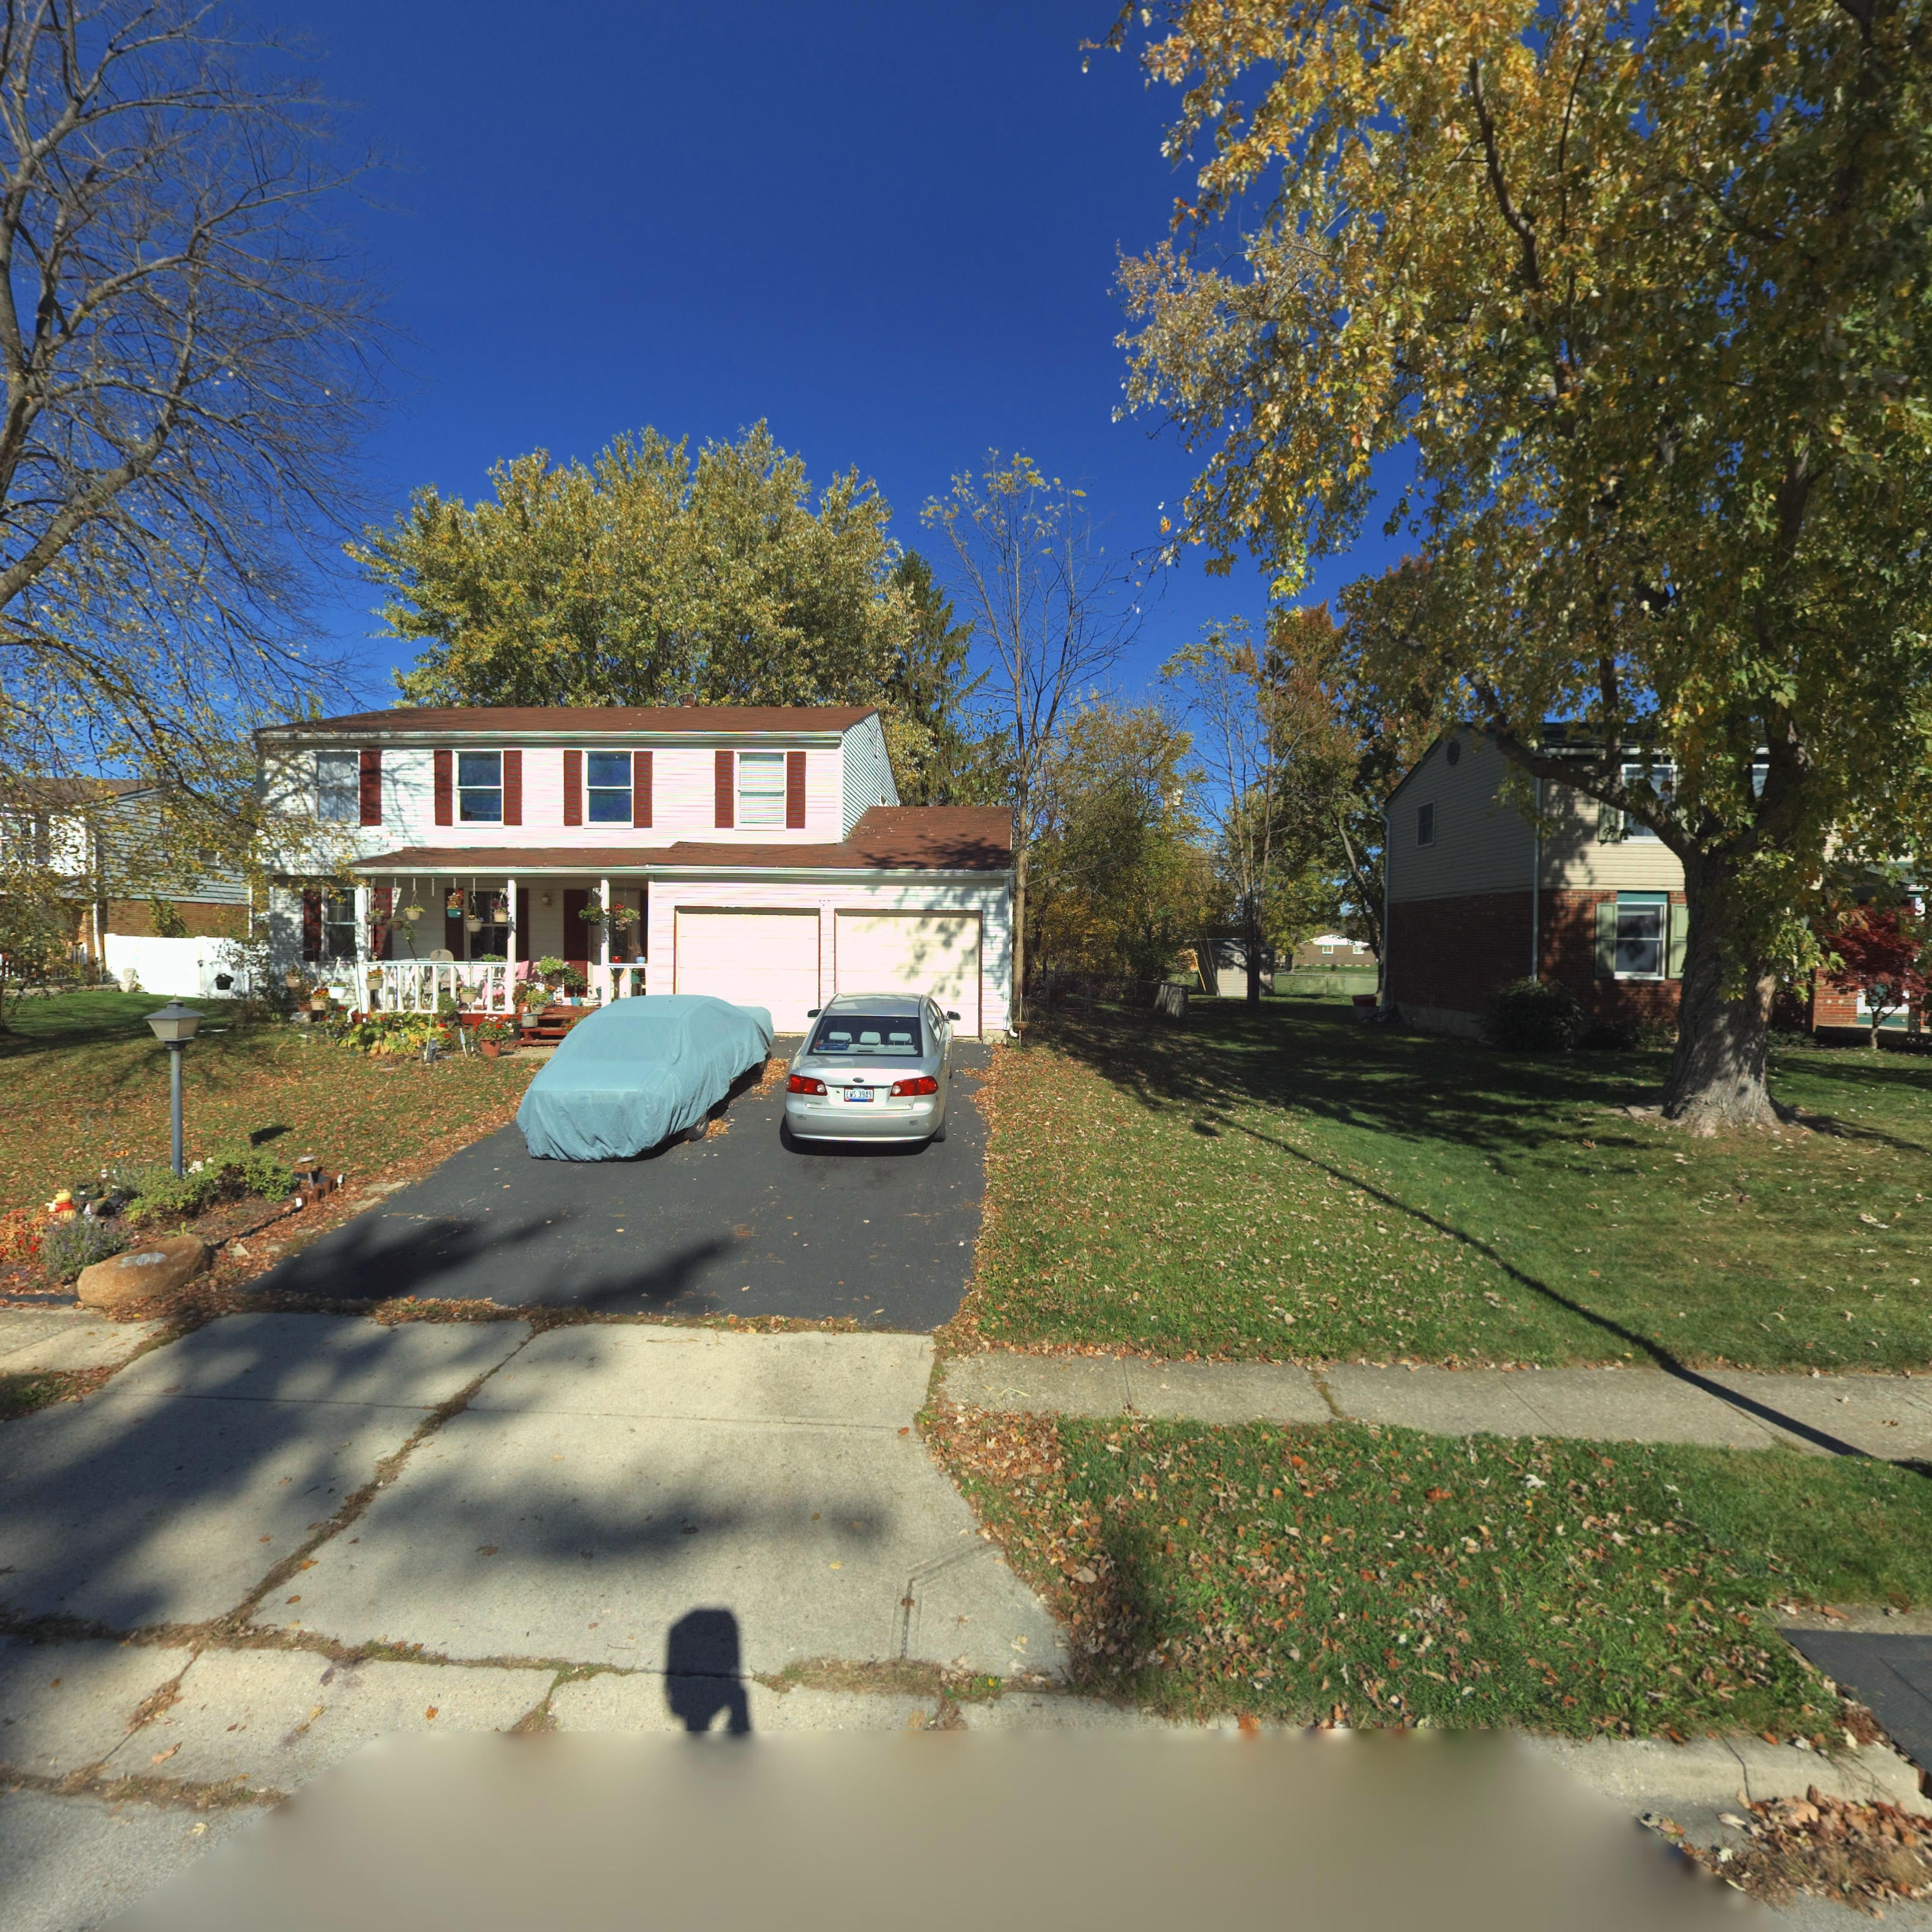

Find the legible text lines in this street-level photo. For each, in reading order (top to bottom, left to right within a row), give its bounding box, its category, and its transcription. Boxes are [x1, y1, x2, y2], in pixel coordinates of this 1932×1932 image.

[817, 898, 832, 908] StreetNumber: *07